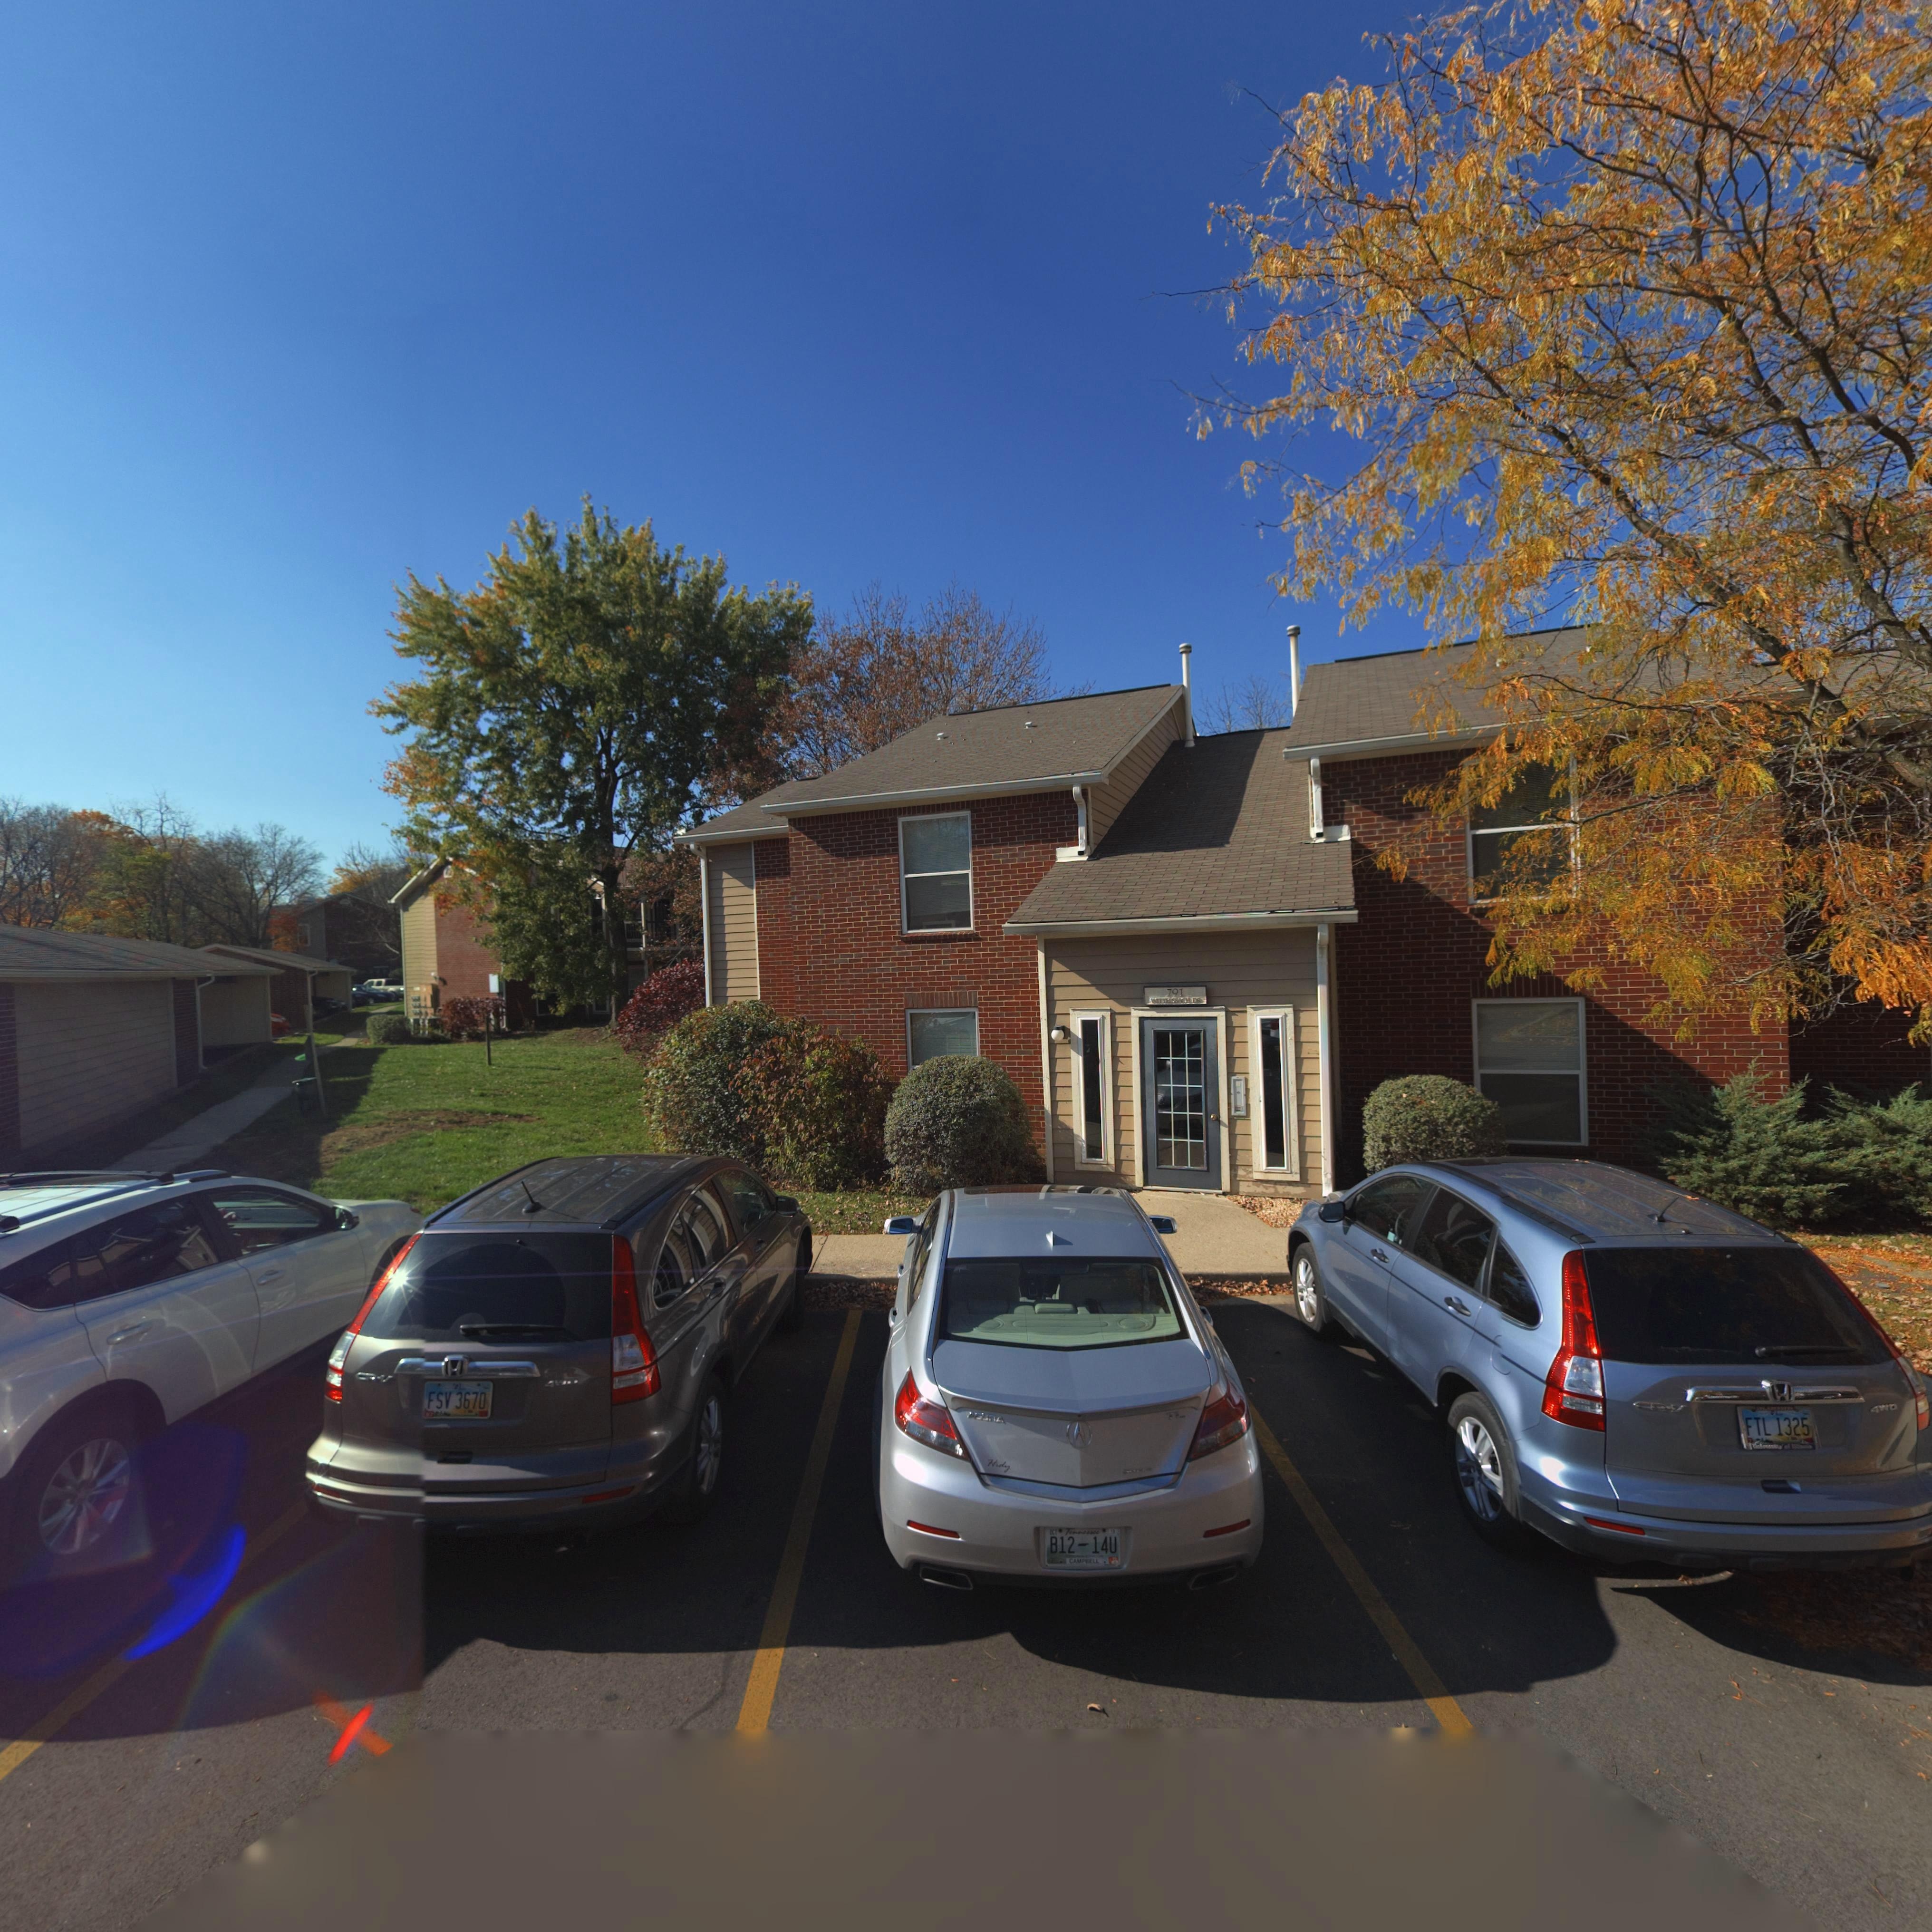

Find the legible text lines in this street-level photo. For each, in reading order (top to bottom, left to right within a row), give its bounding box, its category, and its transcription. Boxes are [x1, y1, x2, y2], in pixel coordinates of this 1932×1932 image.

[1165, 987, 1185, 998] StreetNumber: 791
[352, 1369, 397, 1385] None: CR-V
[425, 1388, 489, 1412] None: FSV 3670
[964, 1408, 1008, 1426] None: ACURA
[1163, 1409, 1188, 1422] None: TL
[1630, 1398, 1691, 1415] None: CR-V
[1868, 1401, 1900, 1415] None: 4WD
[1743, 1414, 1814, 1438] None: FTL 1325
[1048, 1534, 1119, 1555] None: B12-14U
[1068, 1557, 1101, 1565] None: CAMPBELL